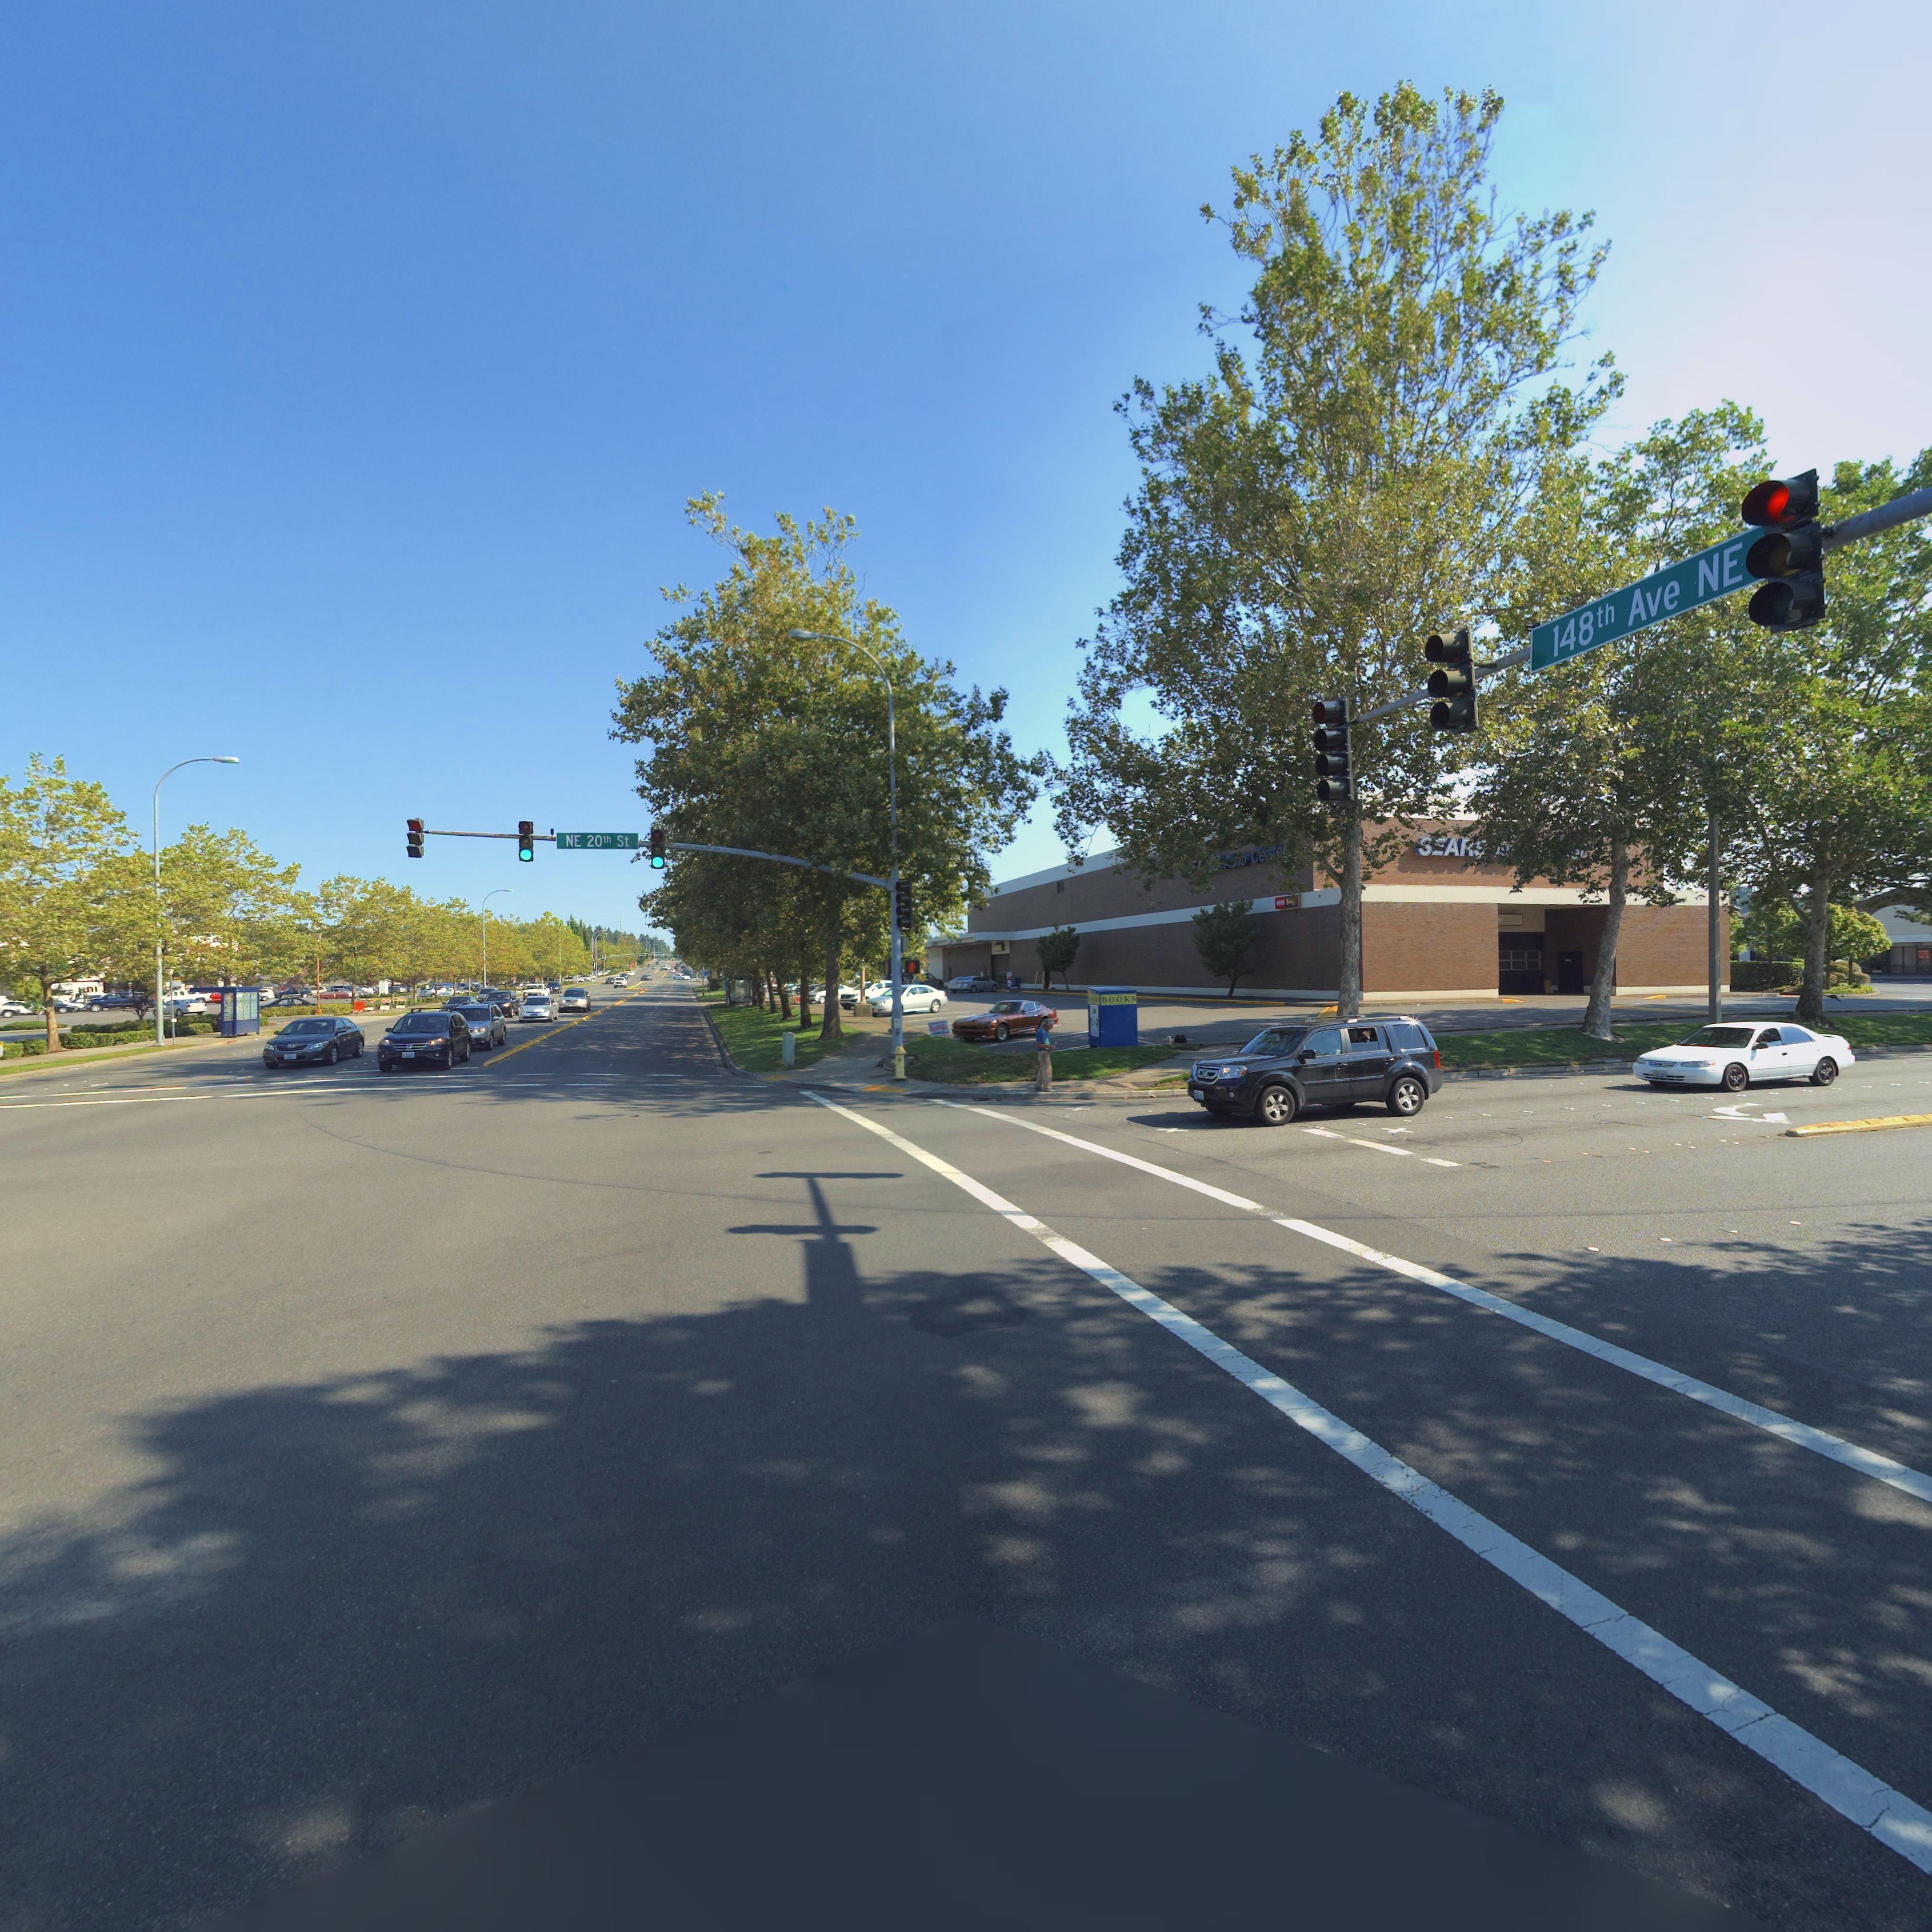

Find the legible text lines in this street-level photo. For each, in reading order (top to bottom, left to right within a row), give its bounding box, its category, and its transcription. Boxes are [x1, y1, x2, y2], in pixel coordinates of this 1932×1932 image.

[1551, 539, 1744, 659] StreetName: 148th Ave NE
[566, 835, 628, 847] StreetName: NE 20th St
[1442, 837, 1459, 856] BusinessName: A